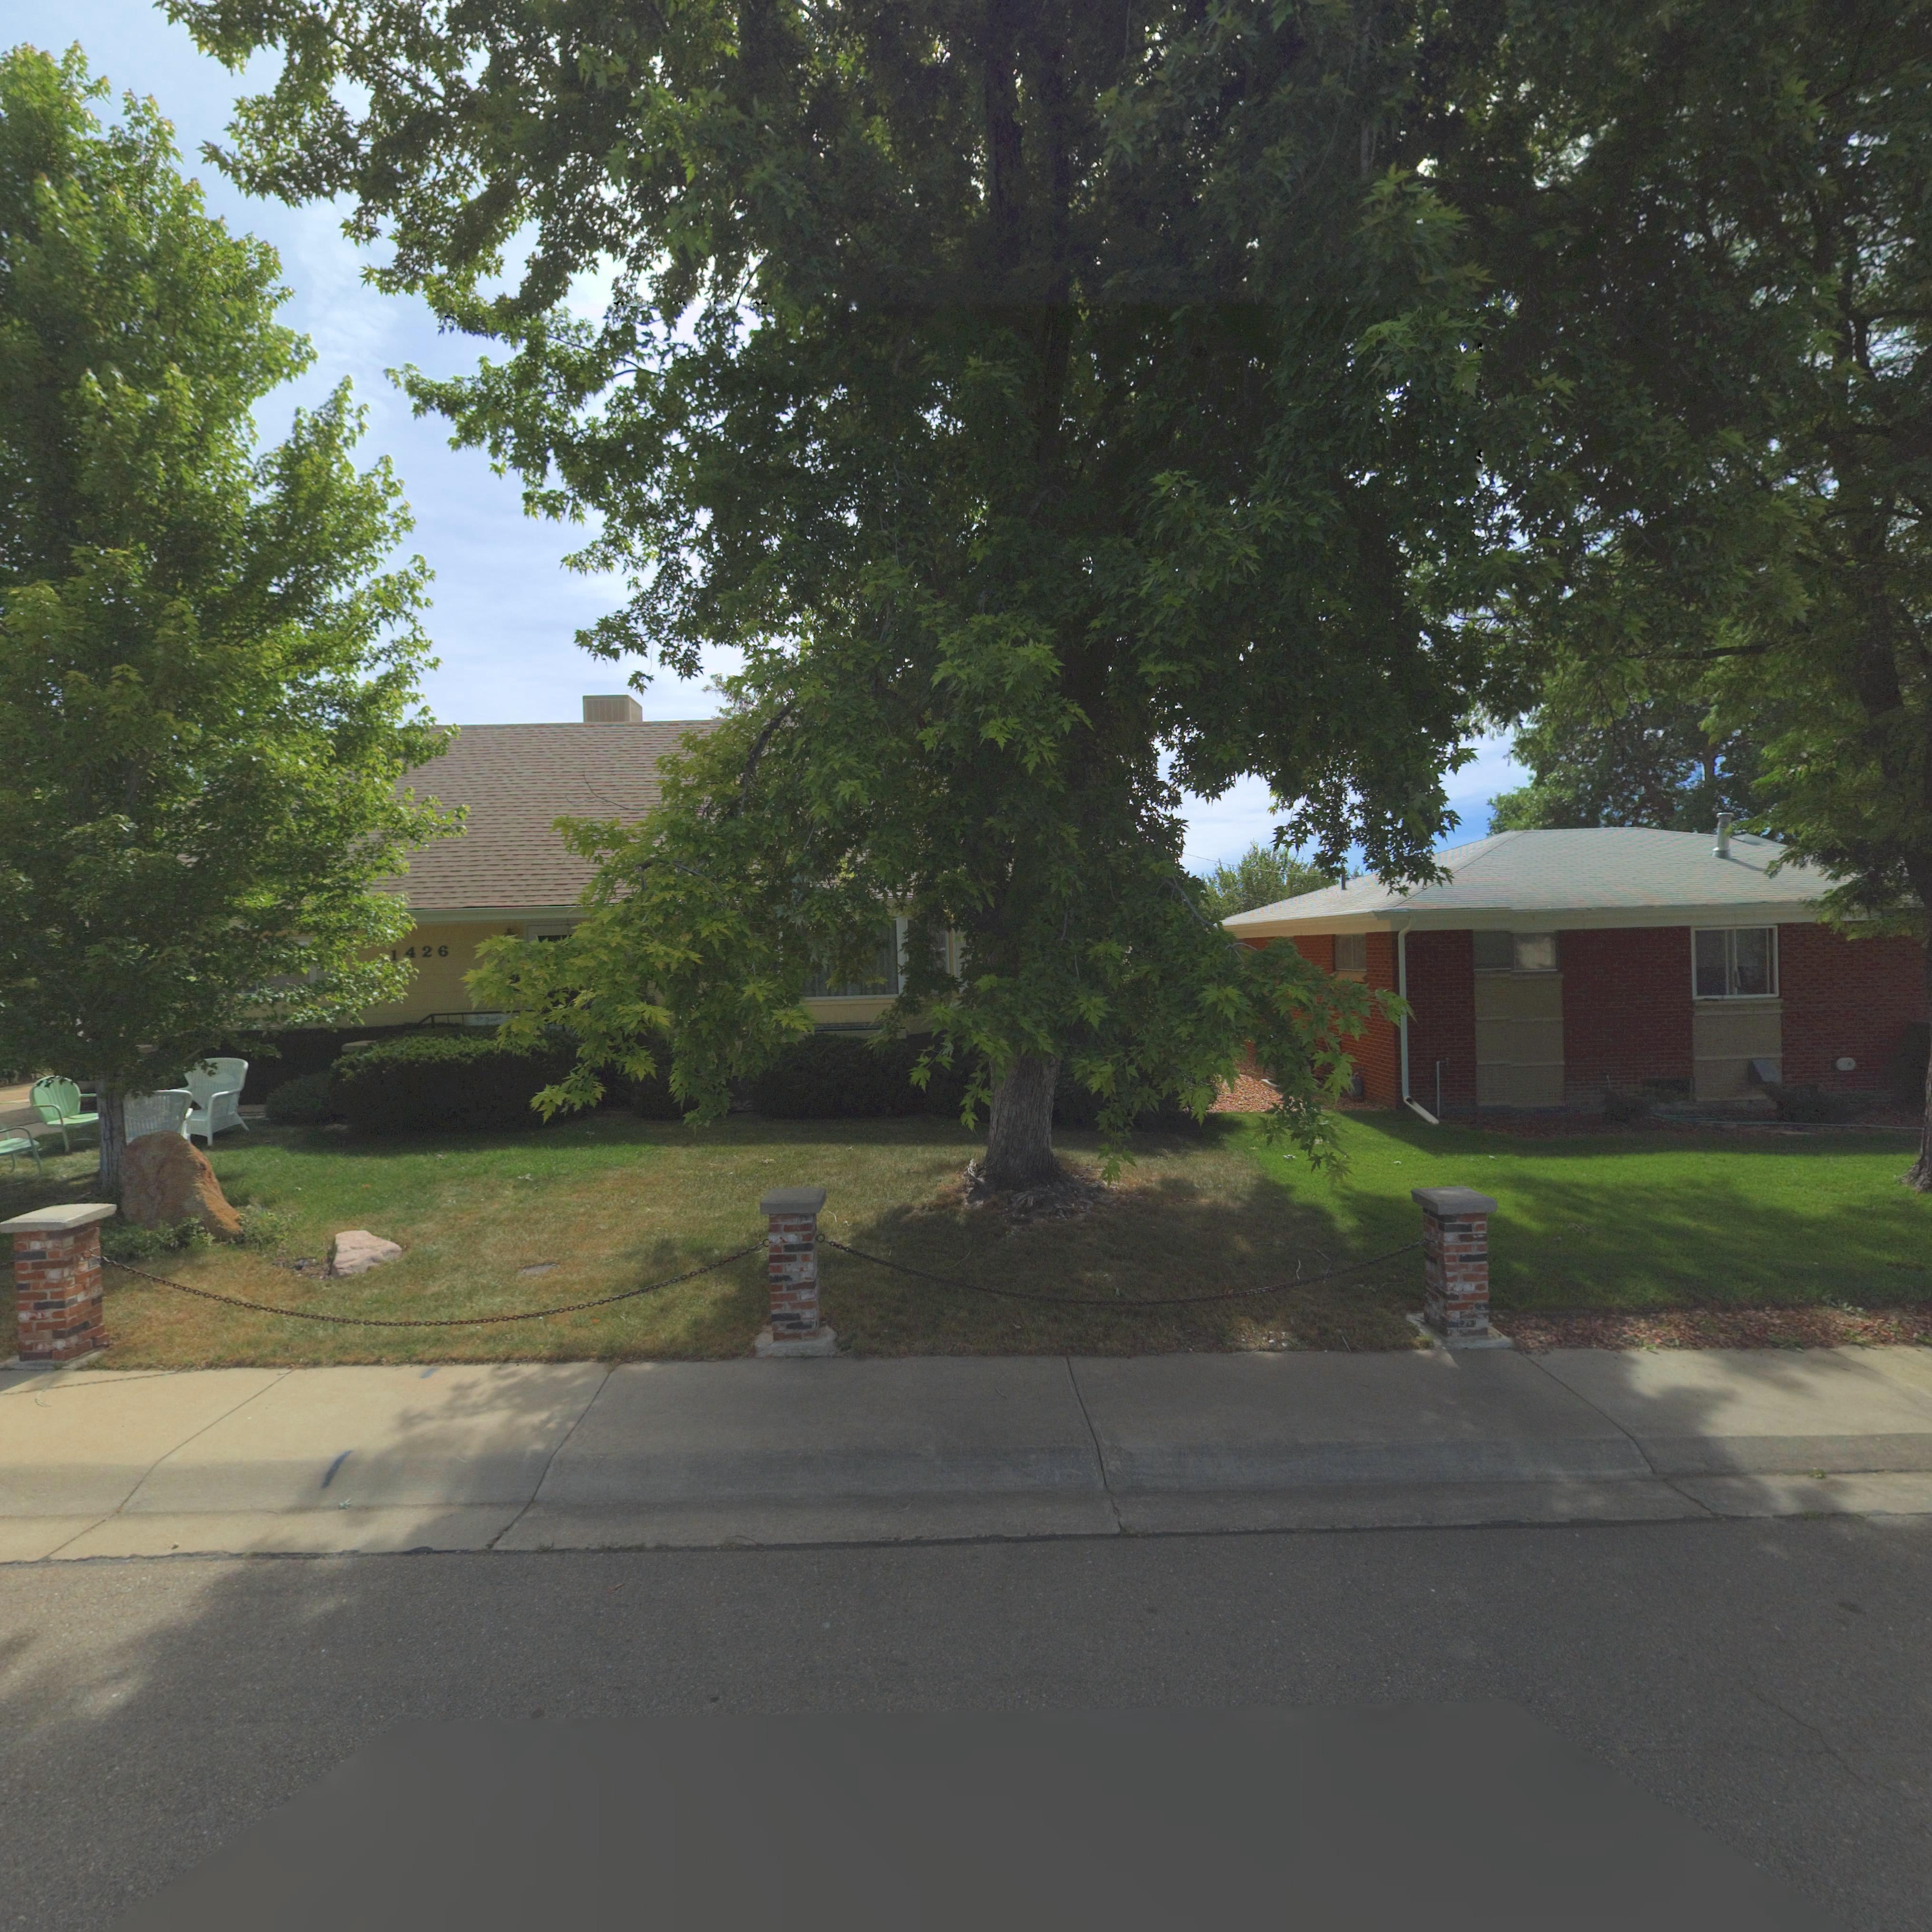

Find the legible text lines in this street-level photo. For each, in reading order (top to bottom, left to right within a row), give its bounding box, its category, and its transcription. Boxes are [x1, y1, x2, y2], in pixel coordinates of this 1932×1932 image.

[390, 945, 449, 961] StreetNumber: 1426